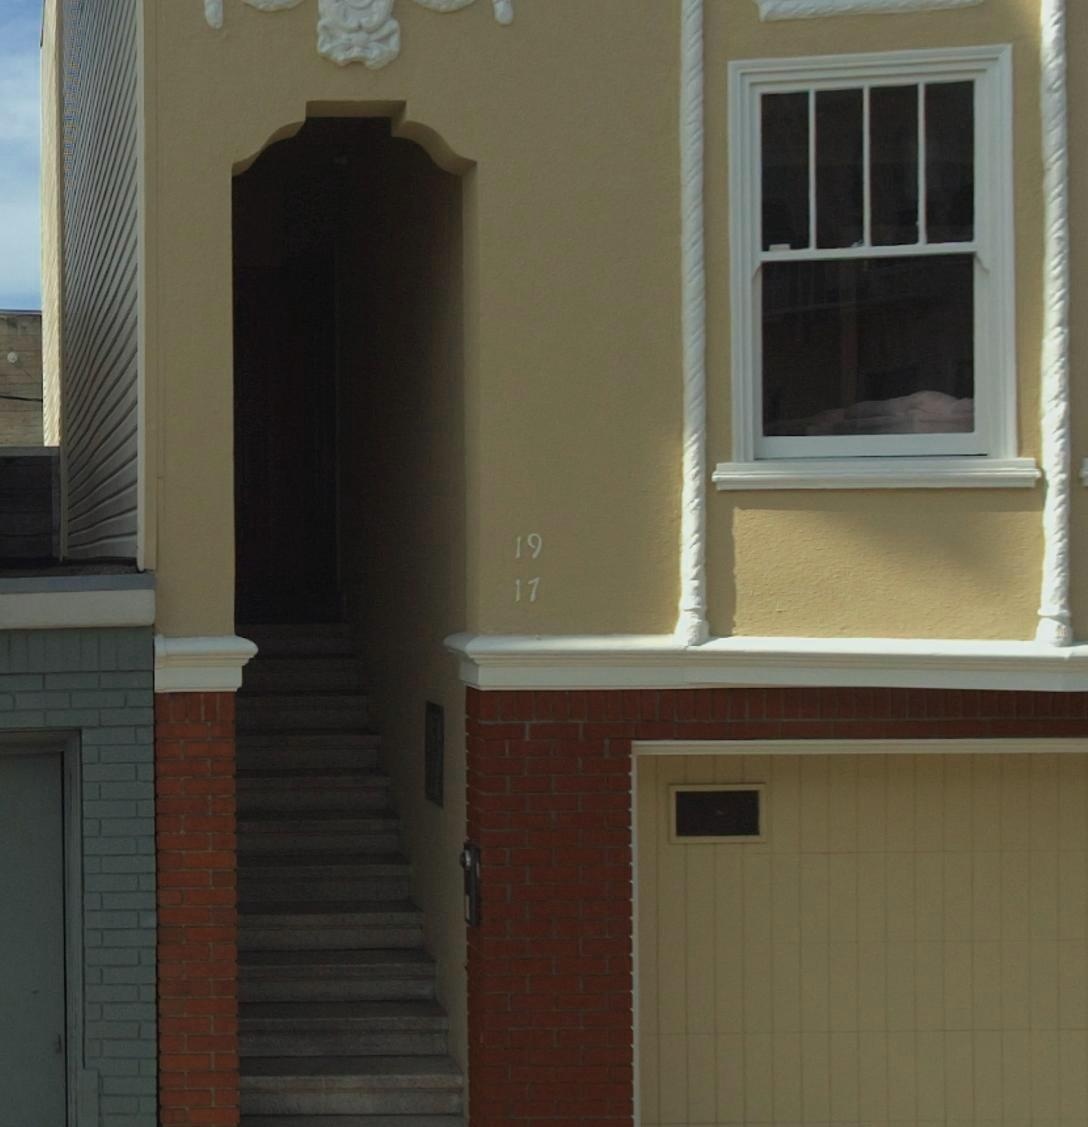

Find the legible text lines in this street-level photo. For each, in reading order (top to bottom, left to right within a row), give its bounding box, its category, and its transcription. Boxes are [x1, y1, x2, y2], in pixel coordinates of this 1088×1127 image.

[512, 529, 546, 562] StreetNumber: 19
[513, 573, 544, 606] StreetNumber: 17